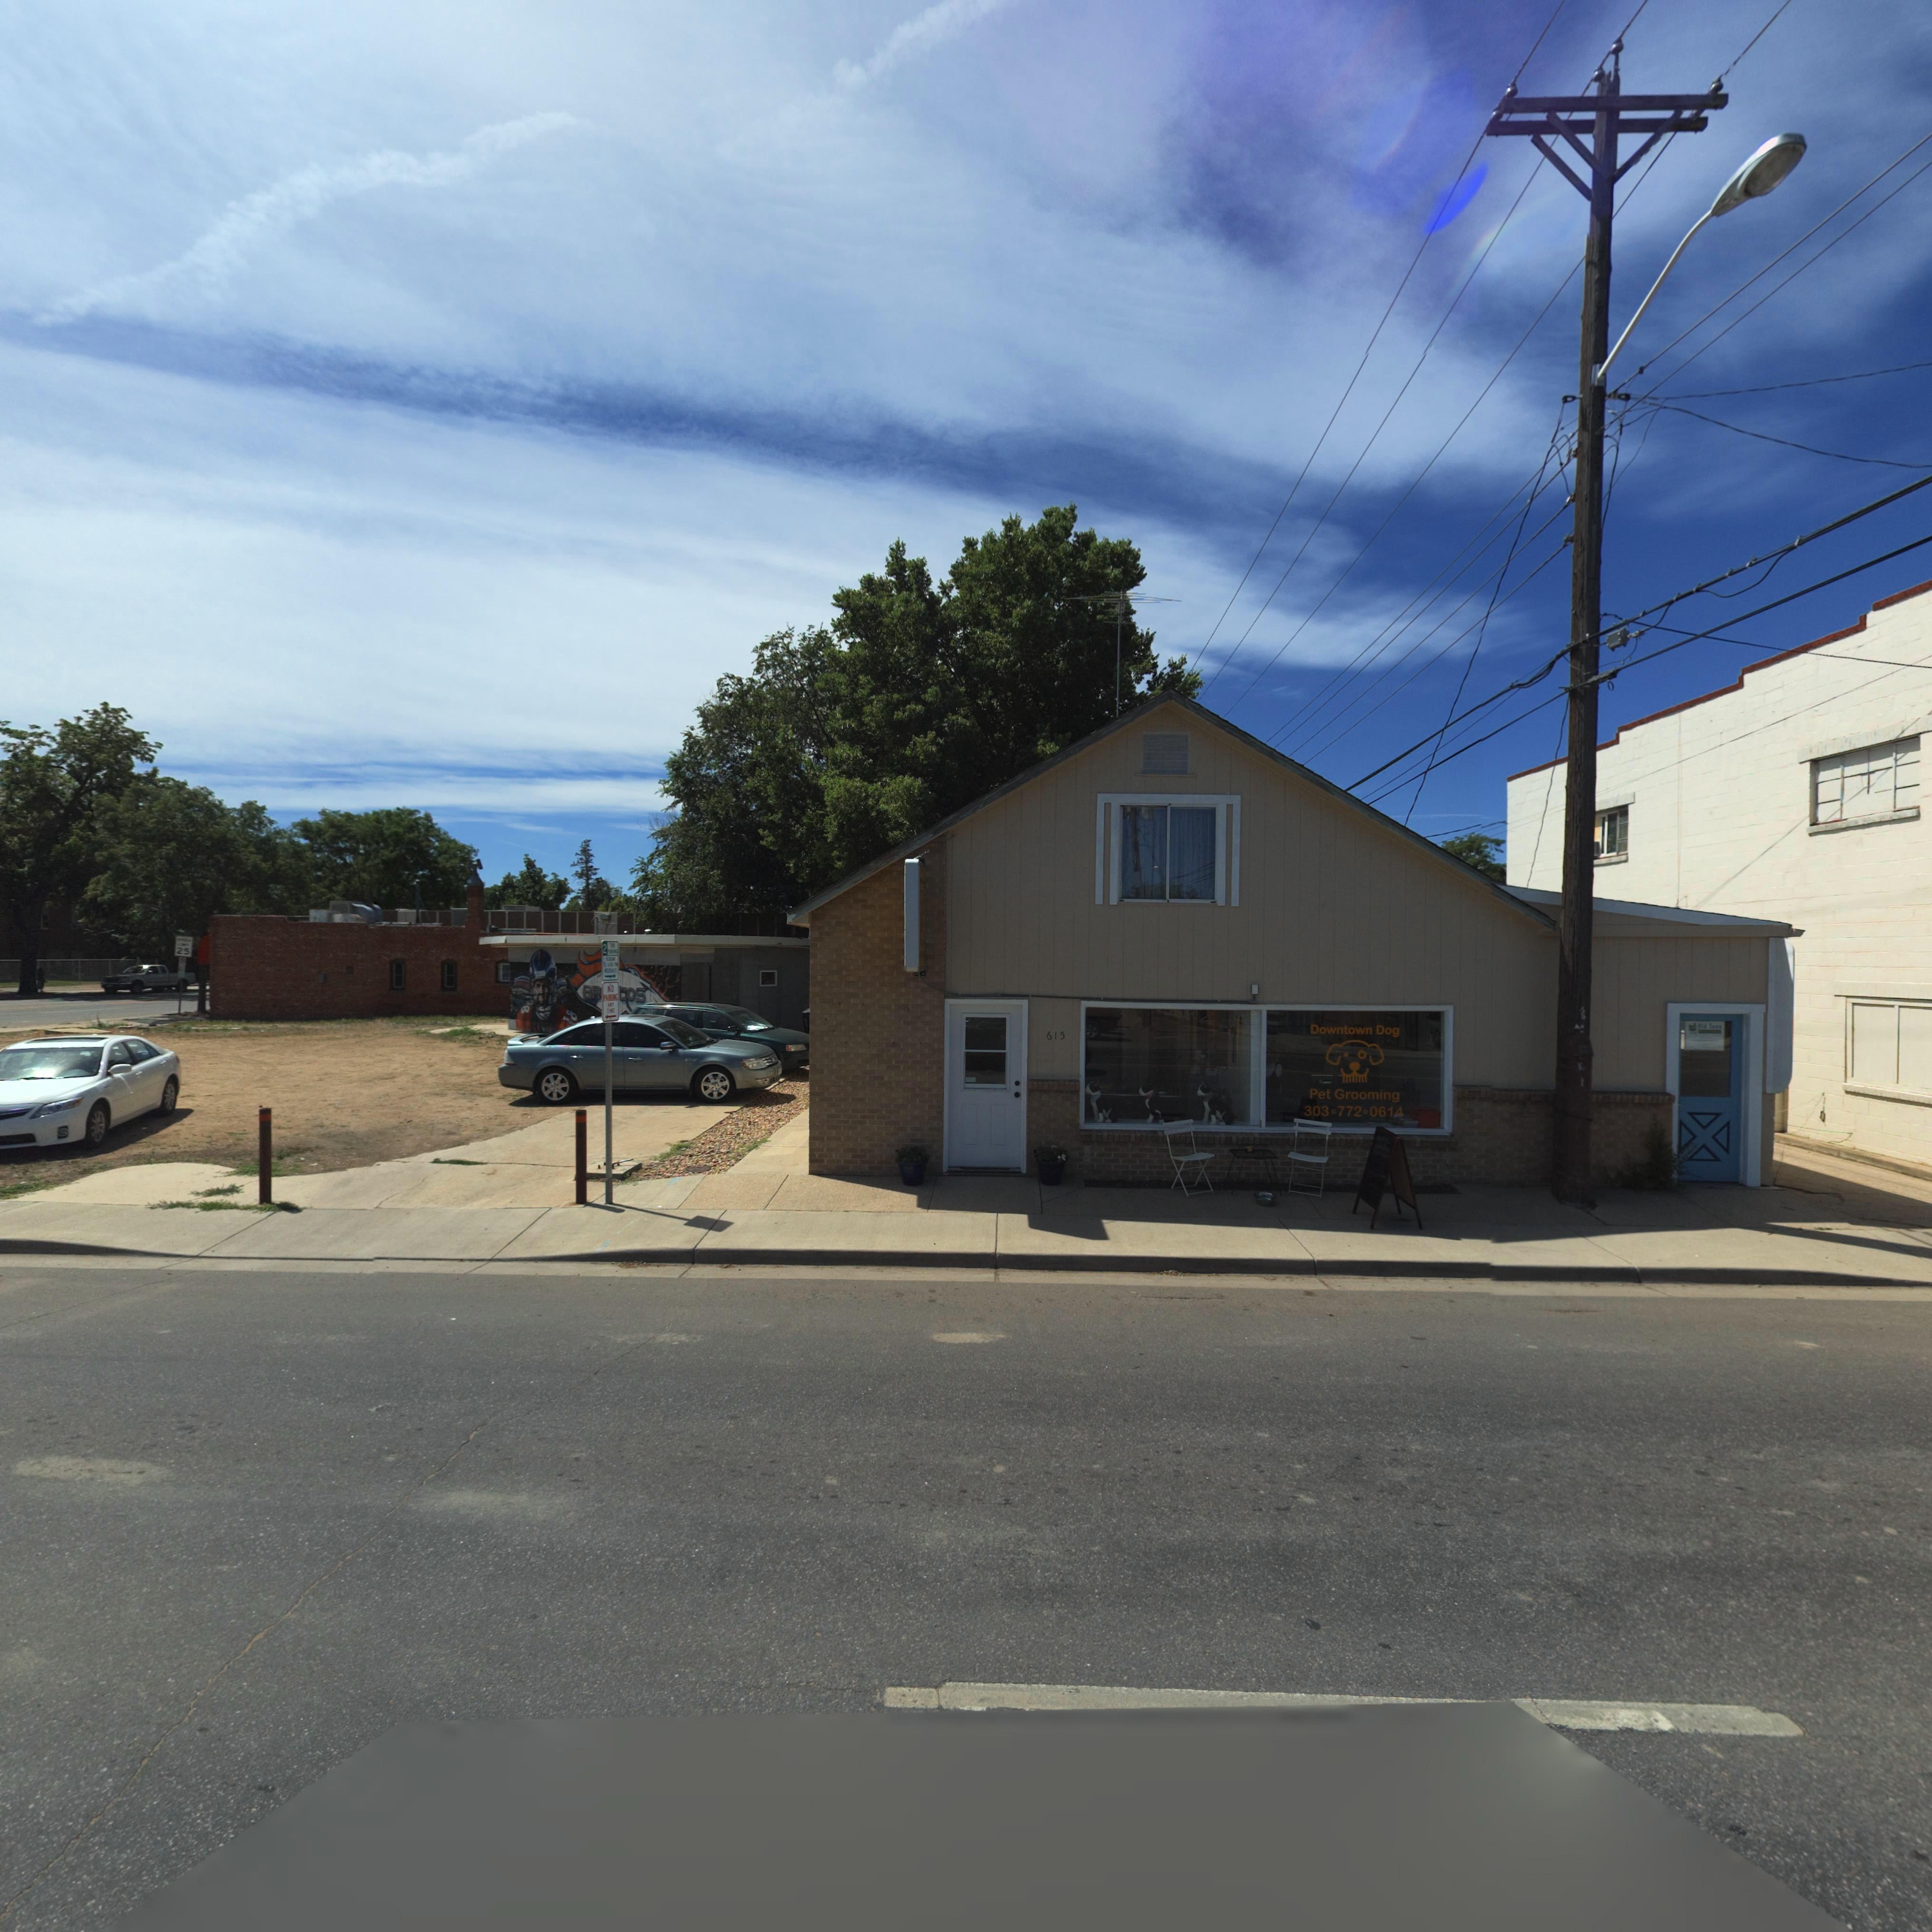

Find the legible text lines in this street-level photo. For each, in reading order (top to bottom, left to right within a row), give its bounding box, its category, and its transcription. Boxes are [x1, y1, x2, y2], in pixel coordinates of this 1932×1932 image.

[1045, 1030, 1065, 1041] StreetNumber: 615
[1310, 1023, 1400, 1038] BusinessName: Downtown Dog
[1308, 1088, 1400, 1103] BusinessName: Pet Grooming